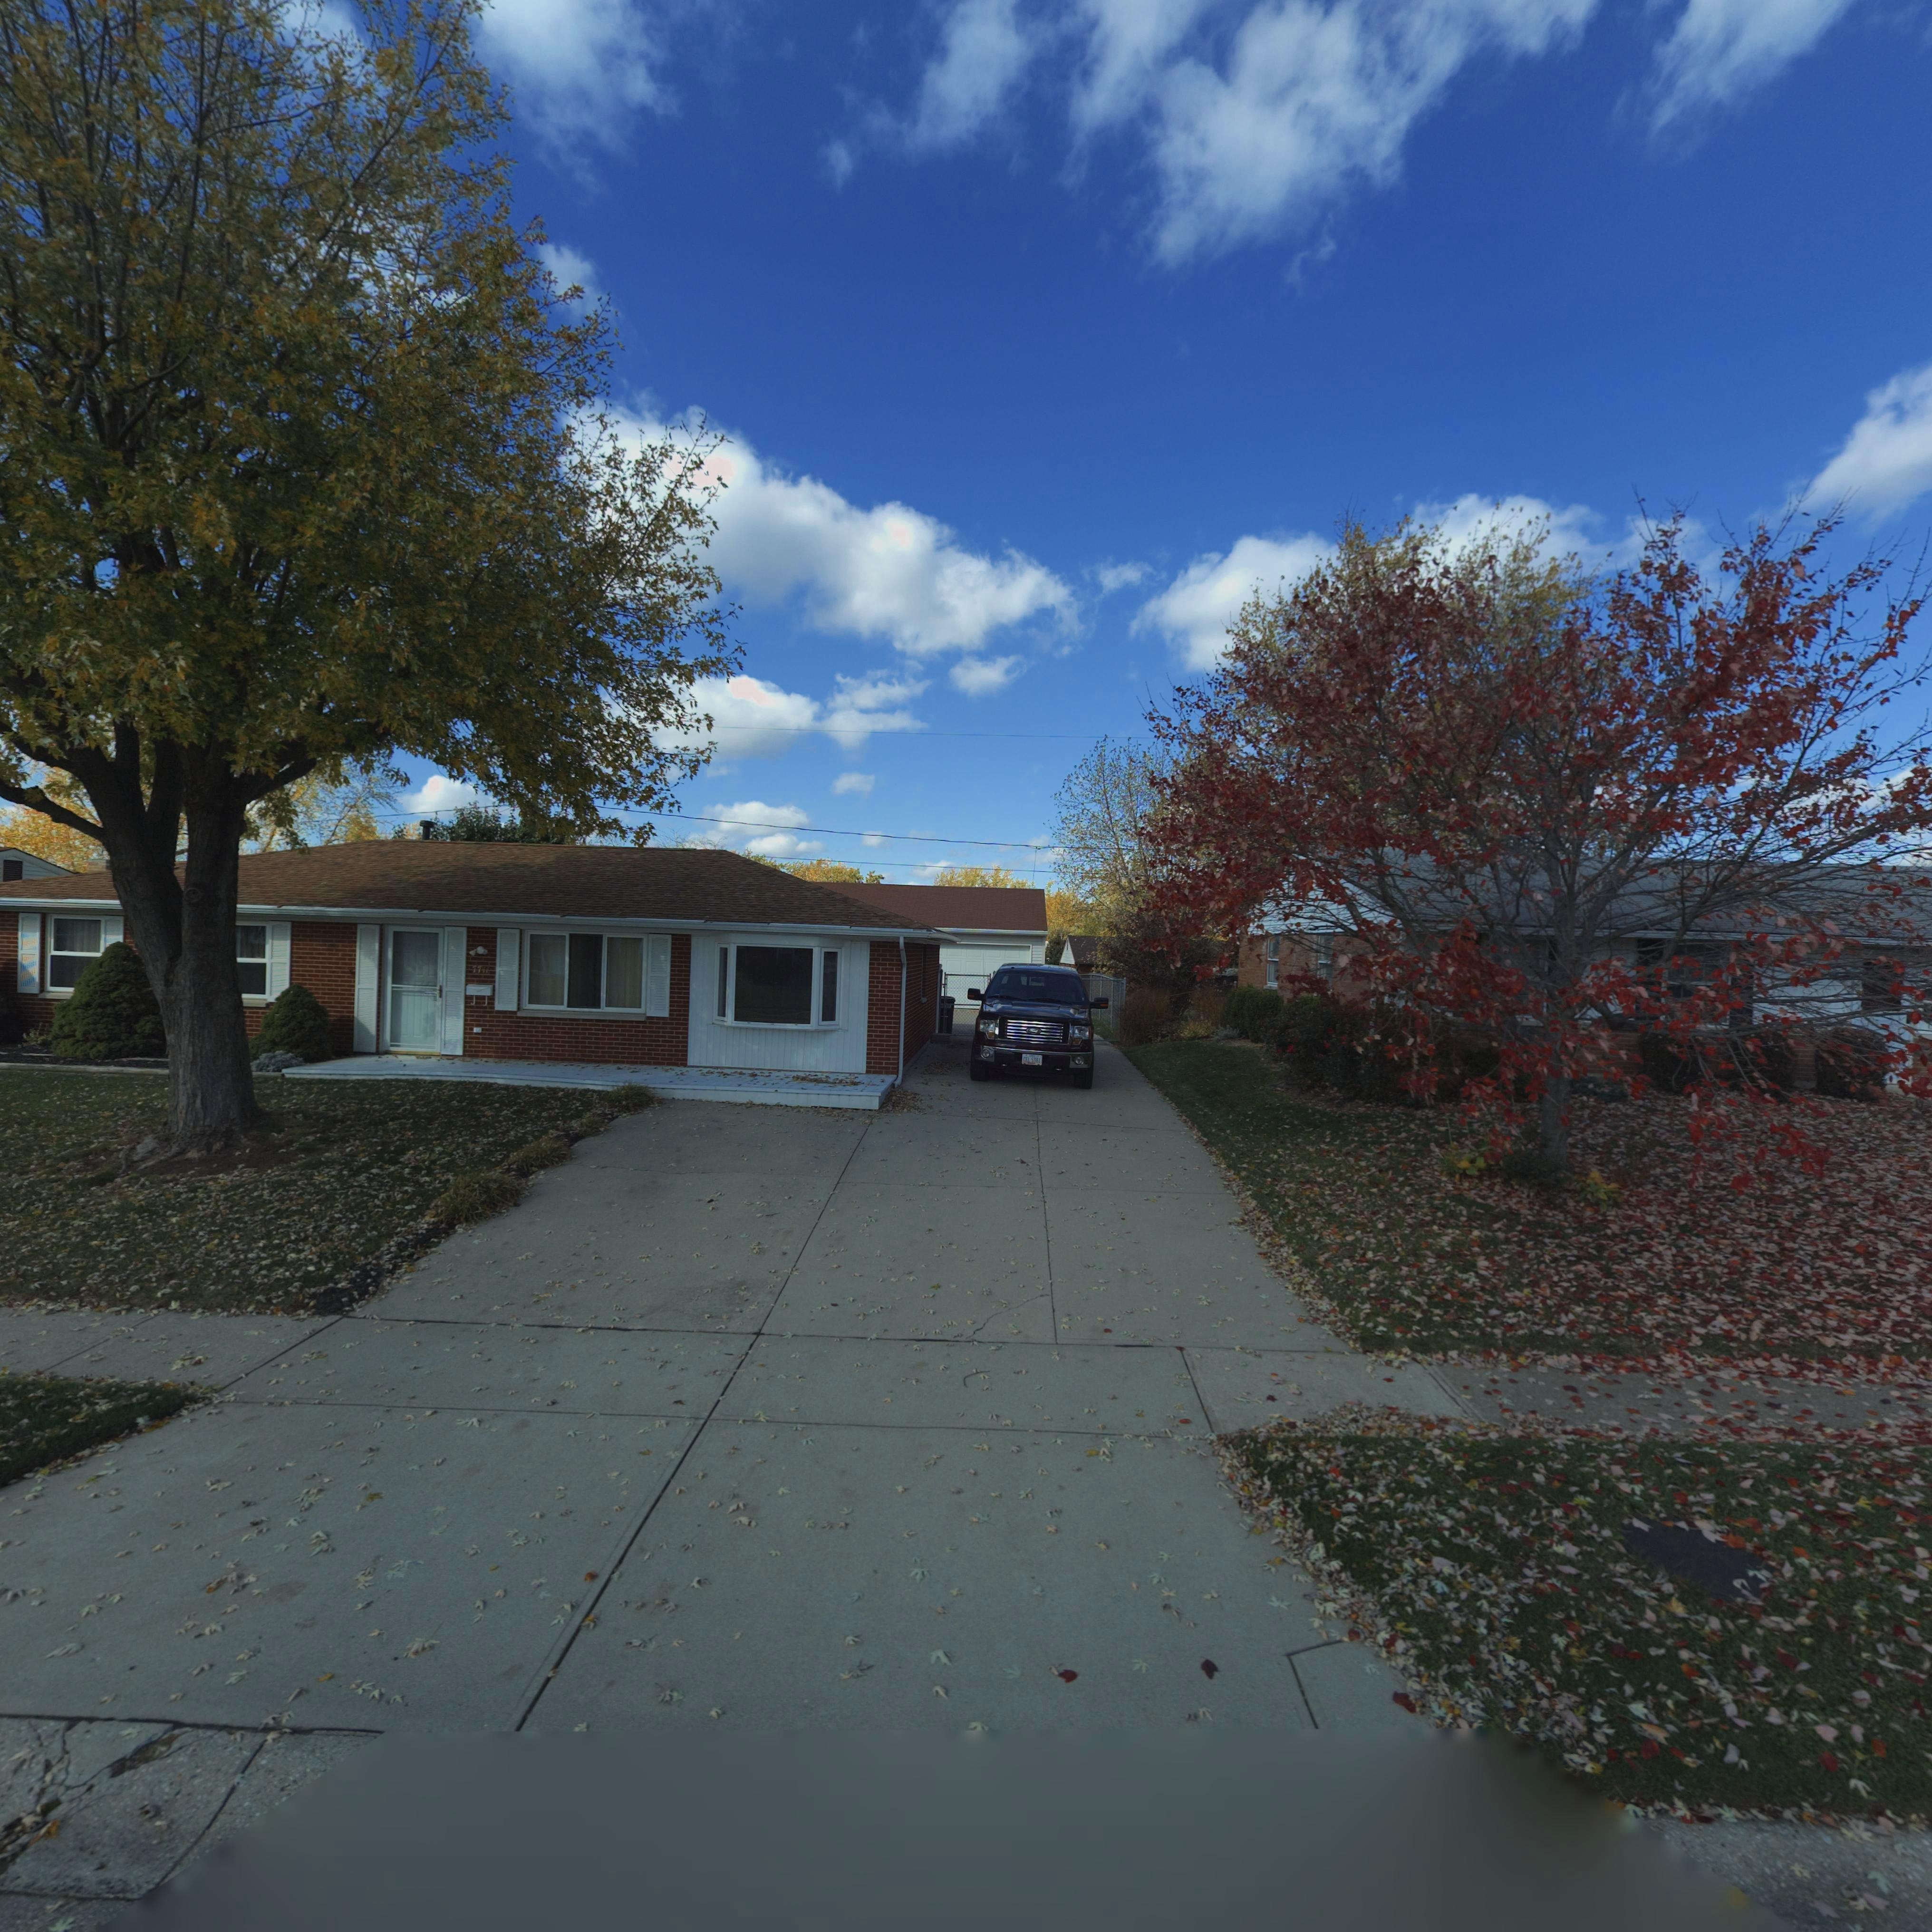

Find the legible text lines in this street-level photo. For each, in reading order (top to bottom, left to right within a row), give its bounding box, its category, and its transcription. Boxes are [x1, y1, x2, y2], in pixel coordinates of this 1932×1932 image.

[472, 964, 491, 974] StreetNumber: 7711